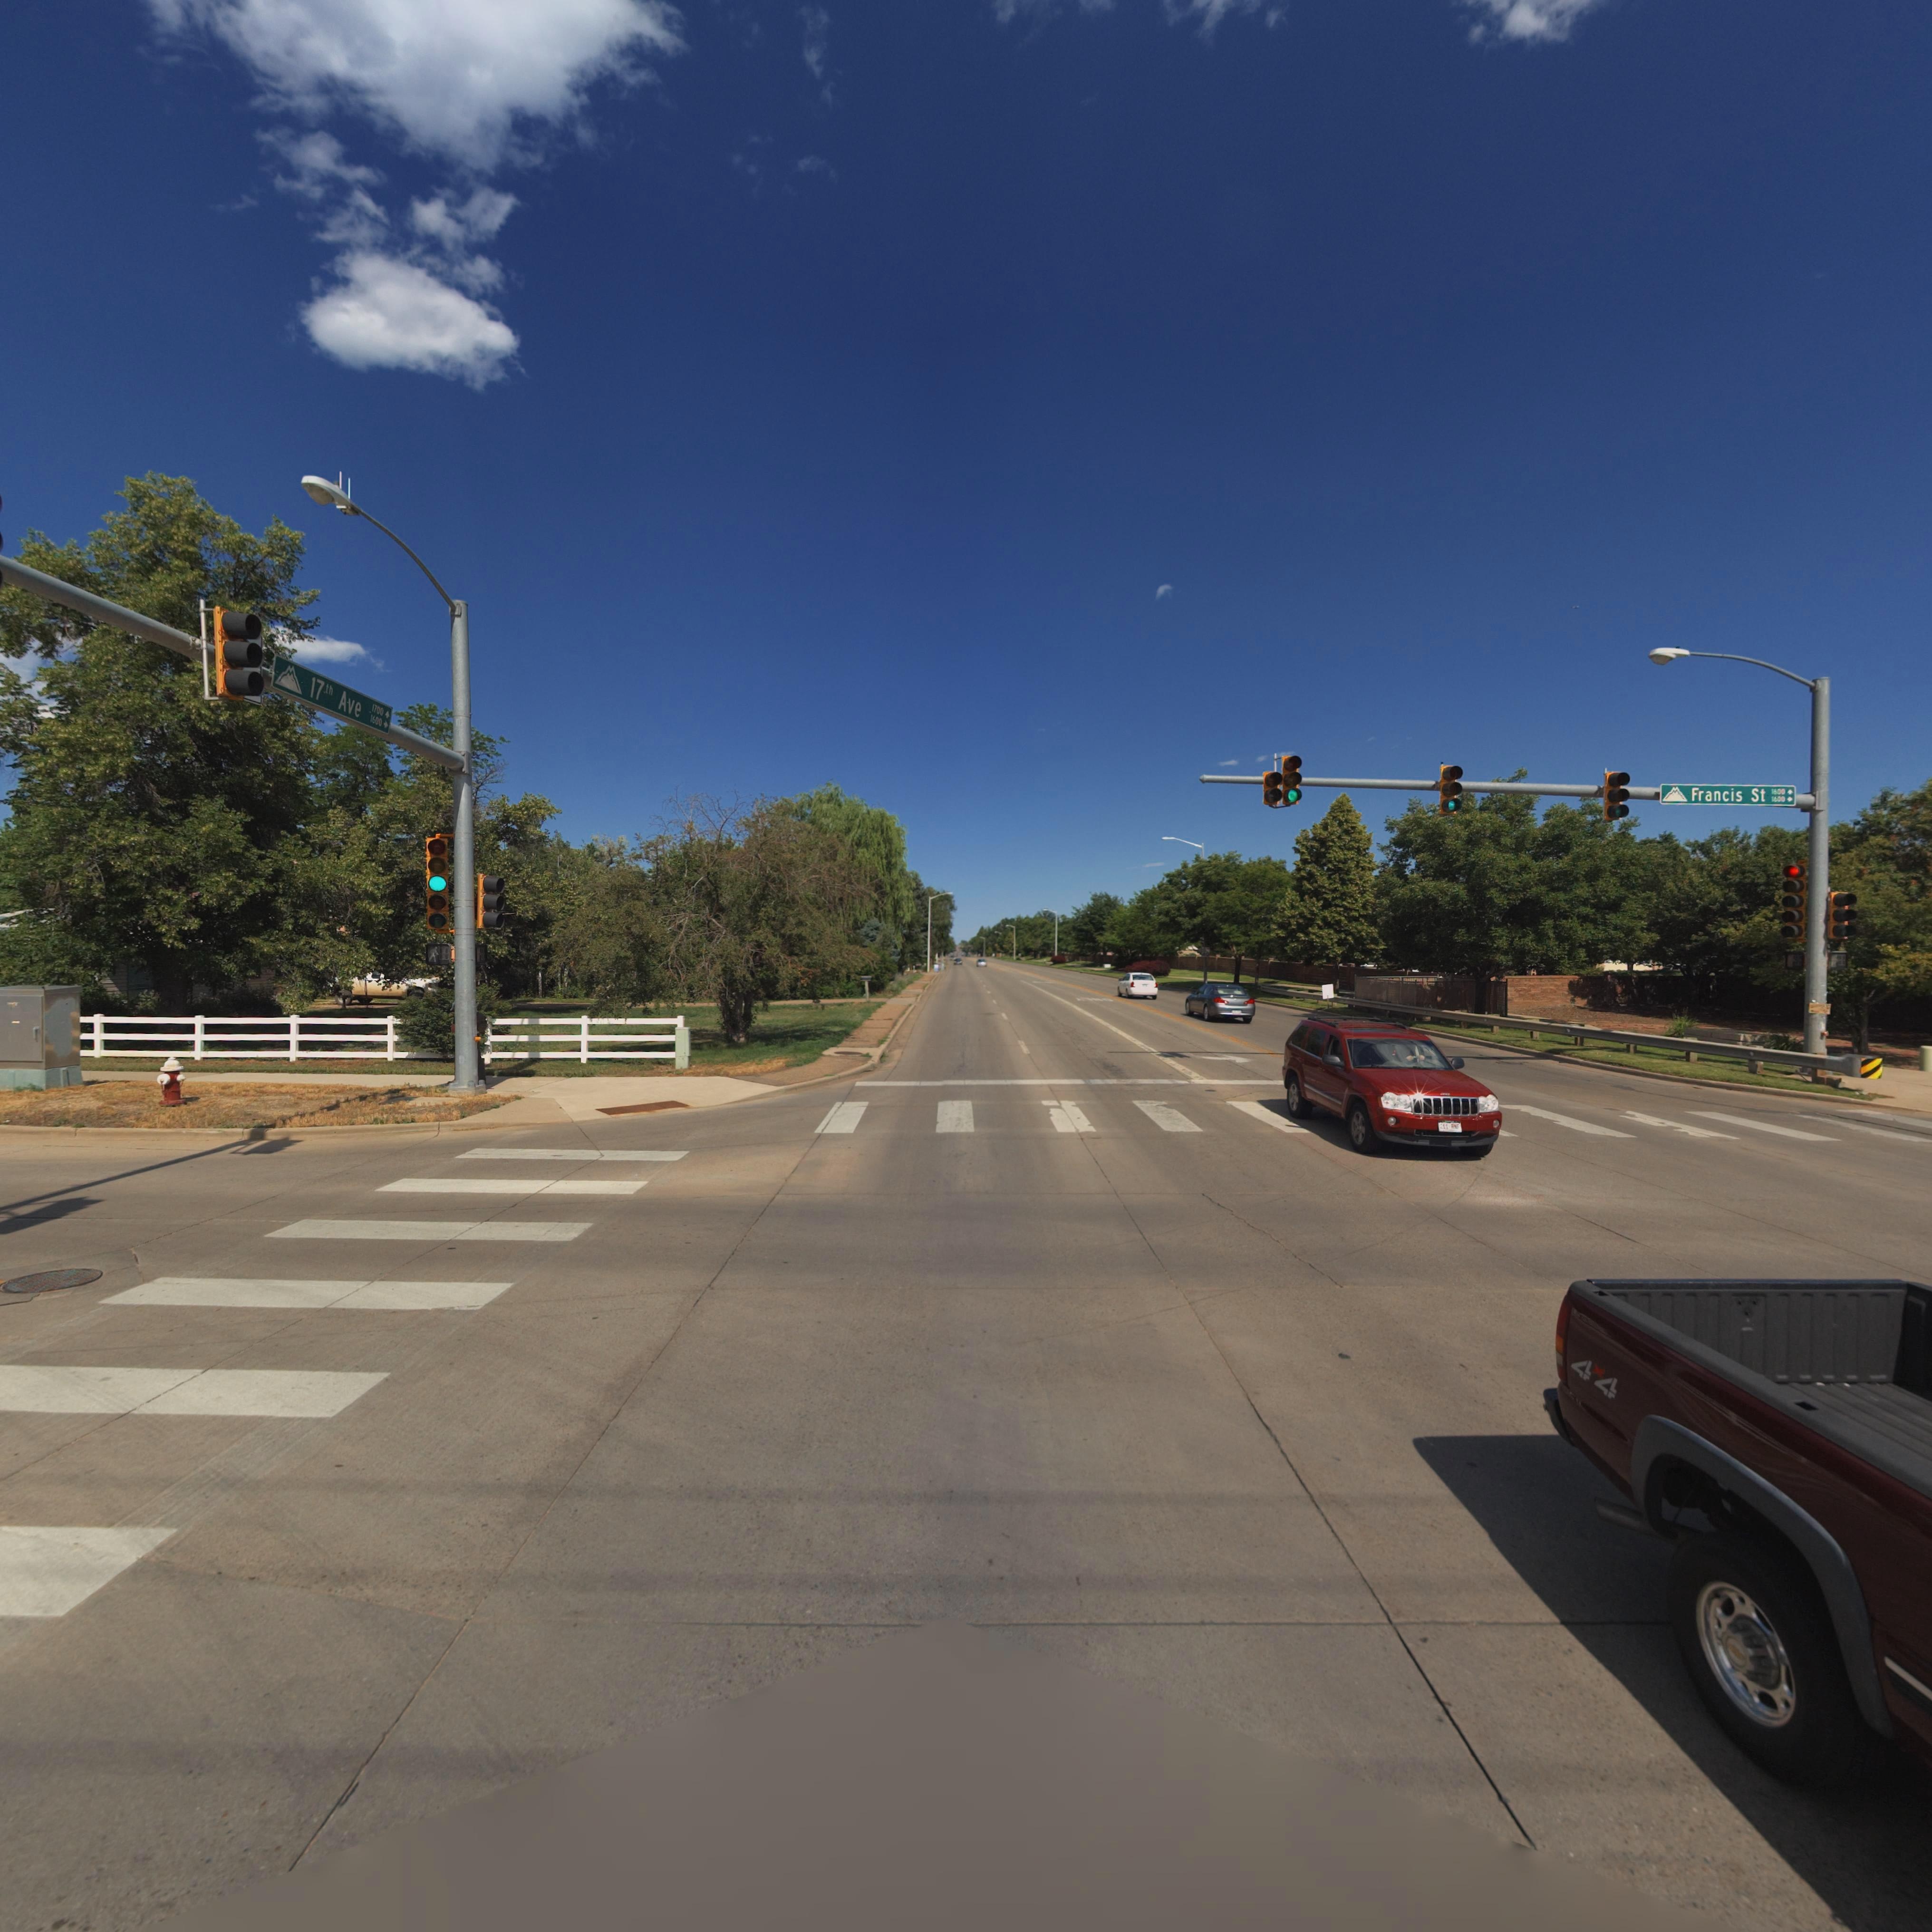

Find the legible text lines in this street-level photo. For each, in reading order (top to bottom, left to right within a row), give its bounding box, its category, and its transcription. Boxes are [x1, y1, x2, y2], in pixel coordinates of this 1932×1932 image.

[309, 676, 362, 718] StreetName: 17th Ave
[371, 703, 384, 716] StreetNumberRange: 1700
[369, 713, 389, 729] StreetNumberRange: 1600->
[1691, 787, 1767, 802] StreetName: Francis St
[1771, 788, 1786, 795] StreetNumberRange: 1*00
[1771, 795, 1794, 802] StreetNumberRange: 1600->